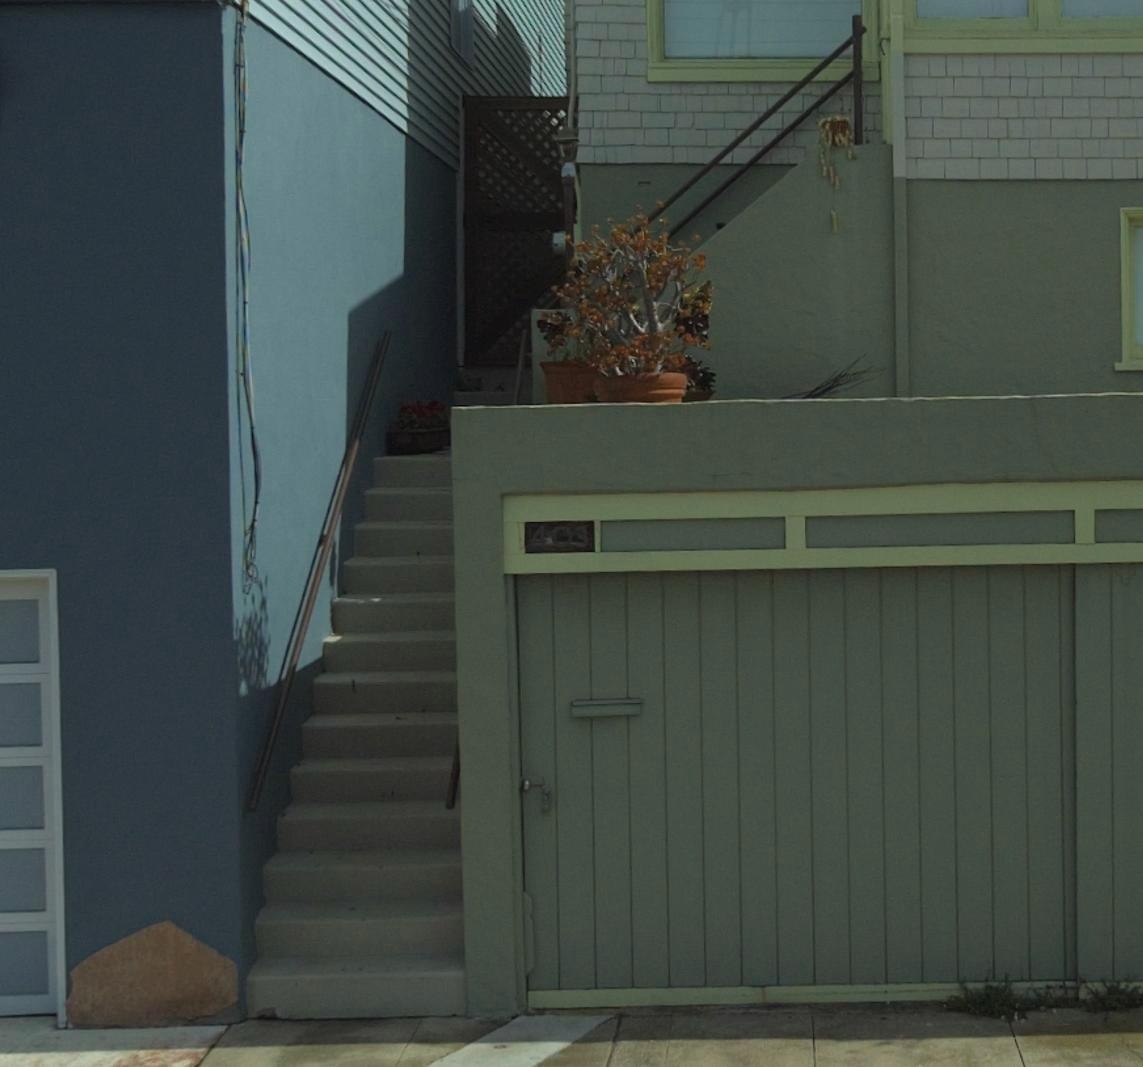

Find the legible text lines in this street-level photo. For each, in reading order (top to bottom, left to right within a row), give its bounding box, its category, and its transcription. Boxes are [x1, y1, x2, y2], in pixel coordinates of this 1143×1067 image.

[529, 522, 591, 551] StreetNumber: 403